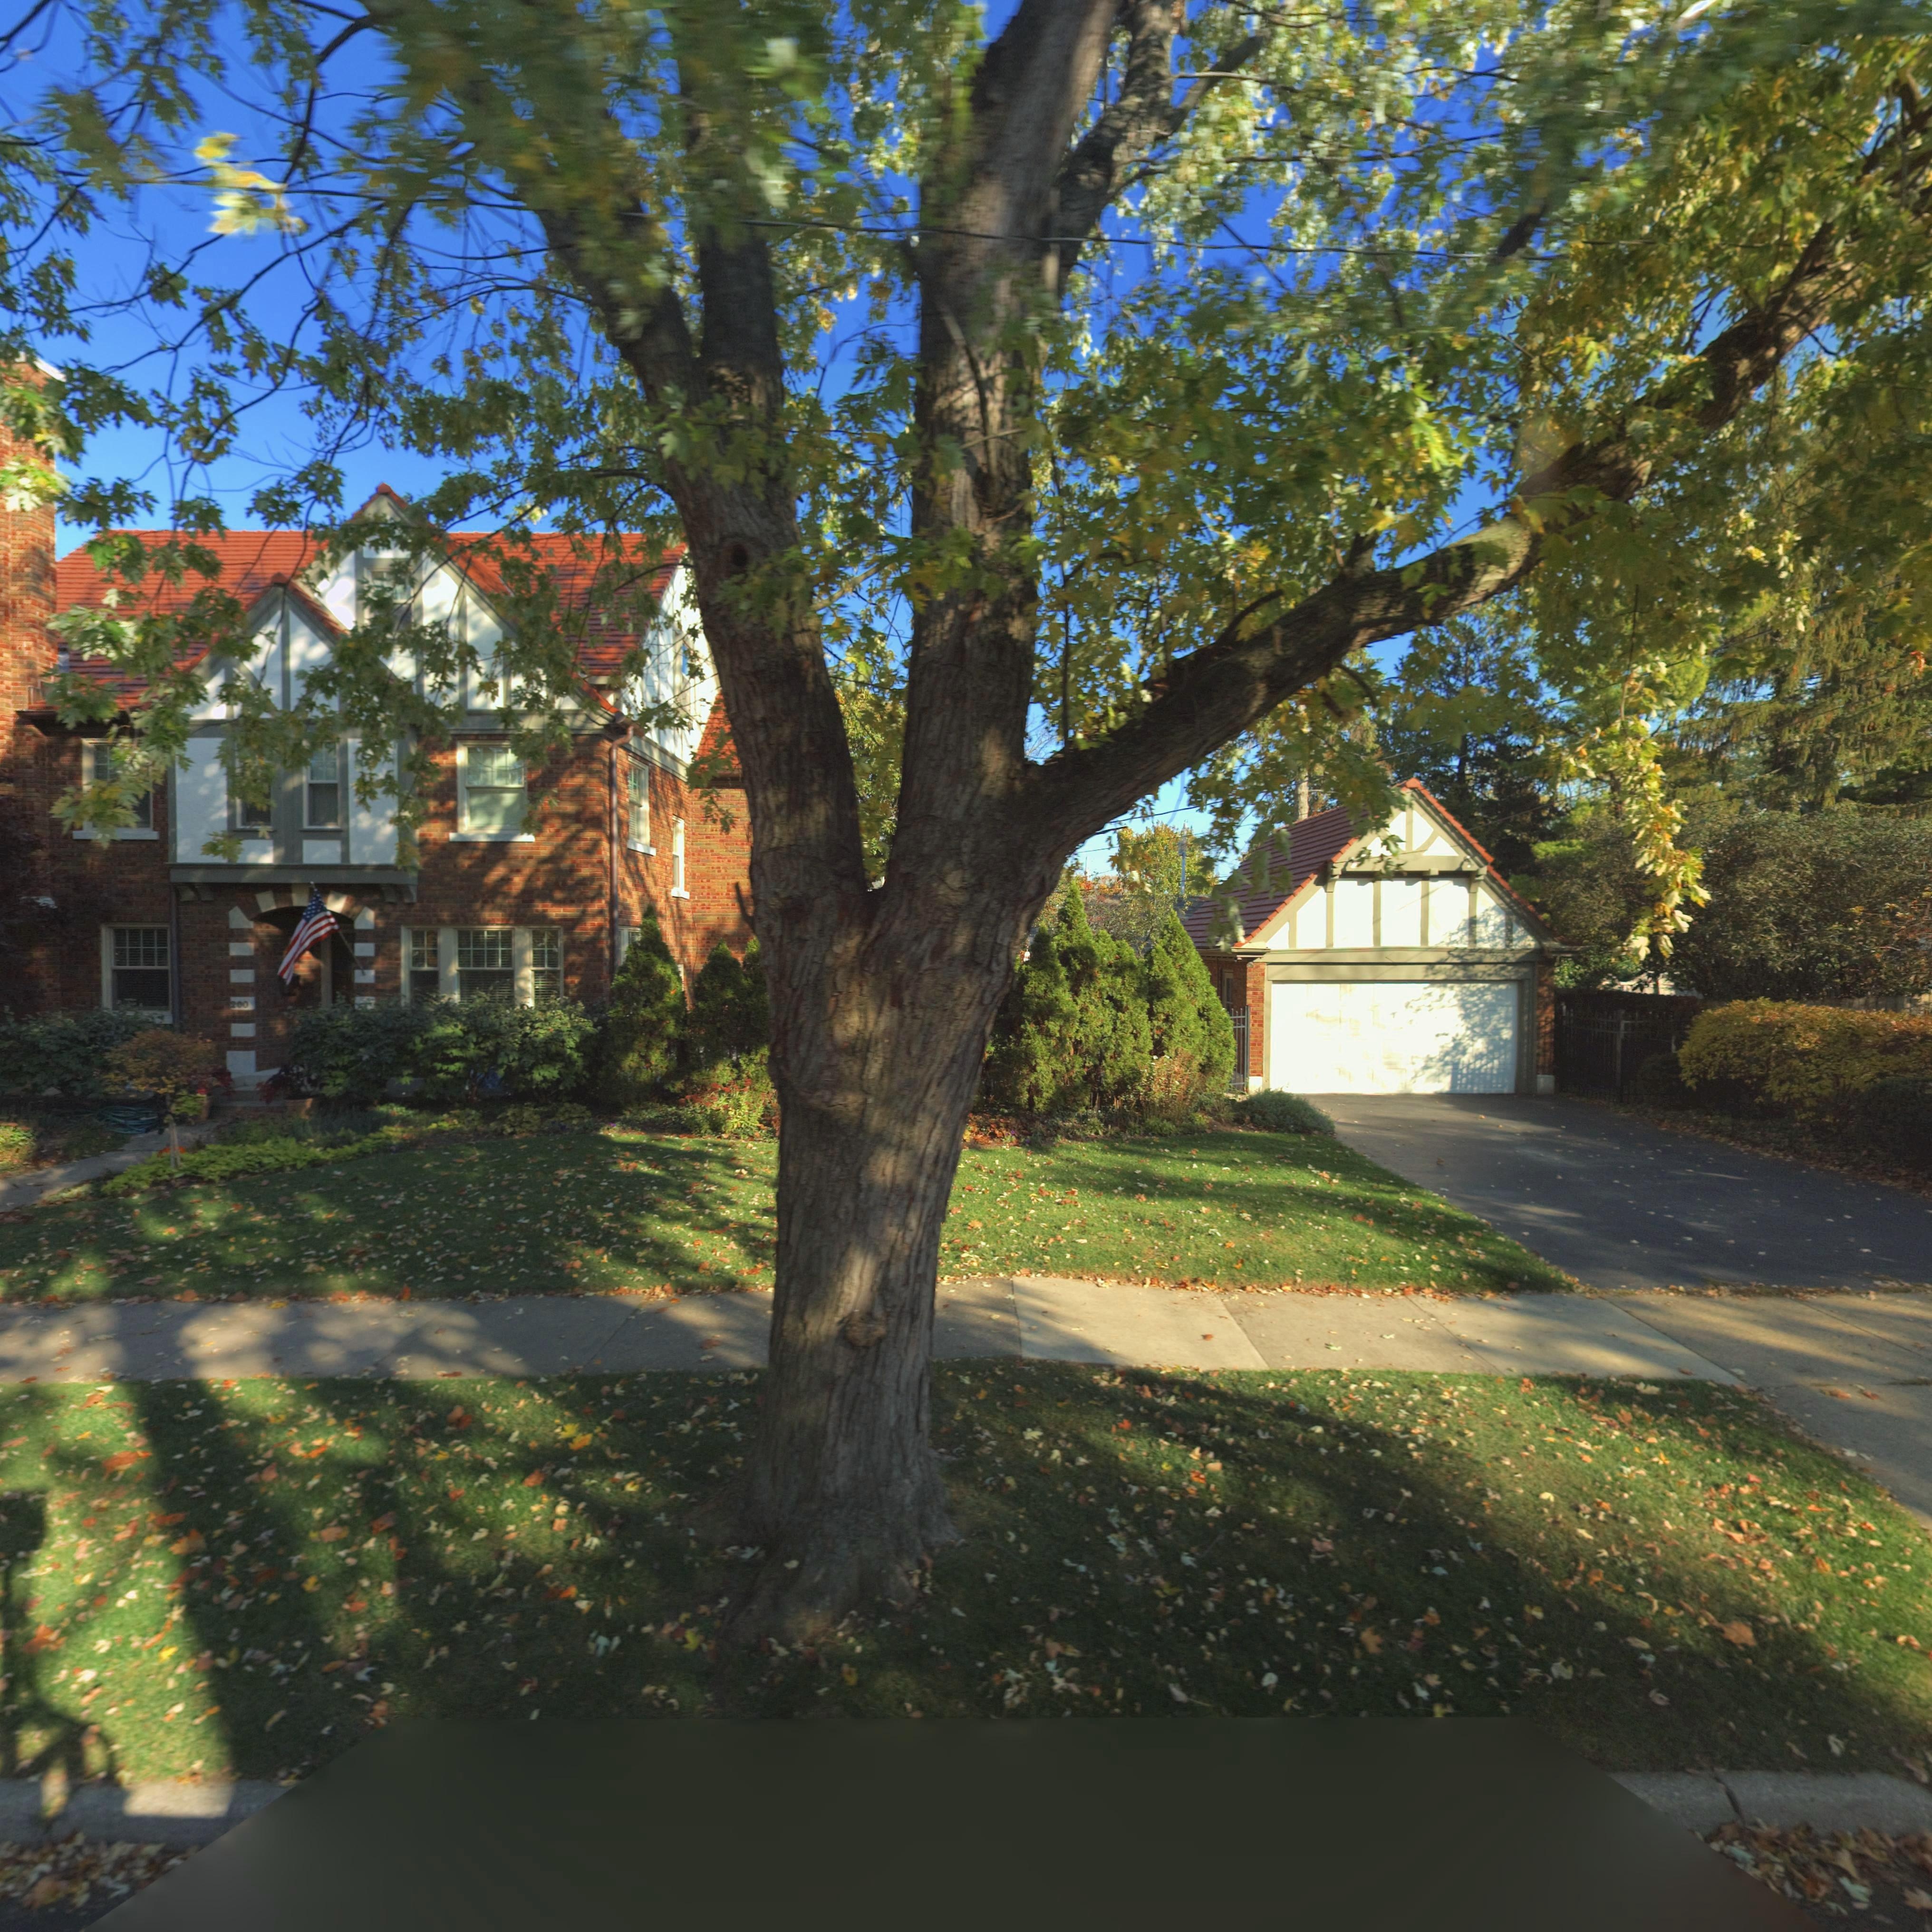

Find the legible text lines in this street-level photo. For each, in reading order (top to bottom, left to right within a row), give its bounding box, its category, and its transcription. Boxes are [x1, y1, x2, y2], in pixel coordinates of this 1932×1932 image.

[229, 1000, 248, 1008] StreetNumber: 200